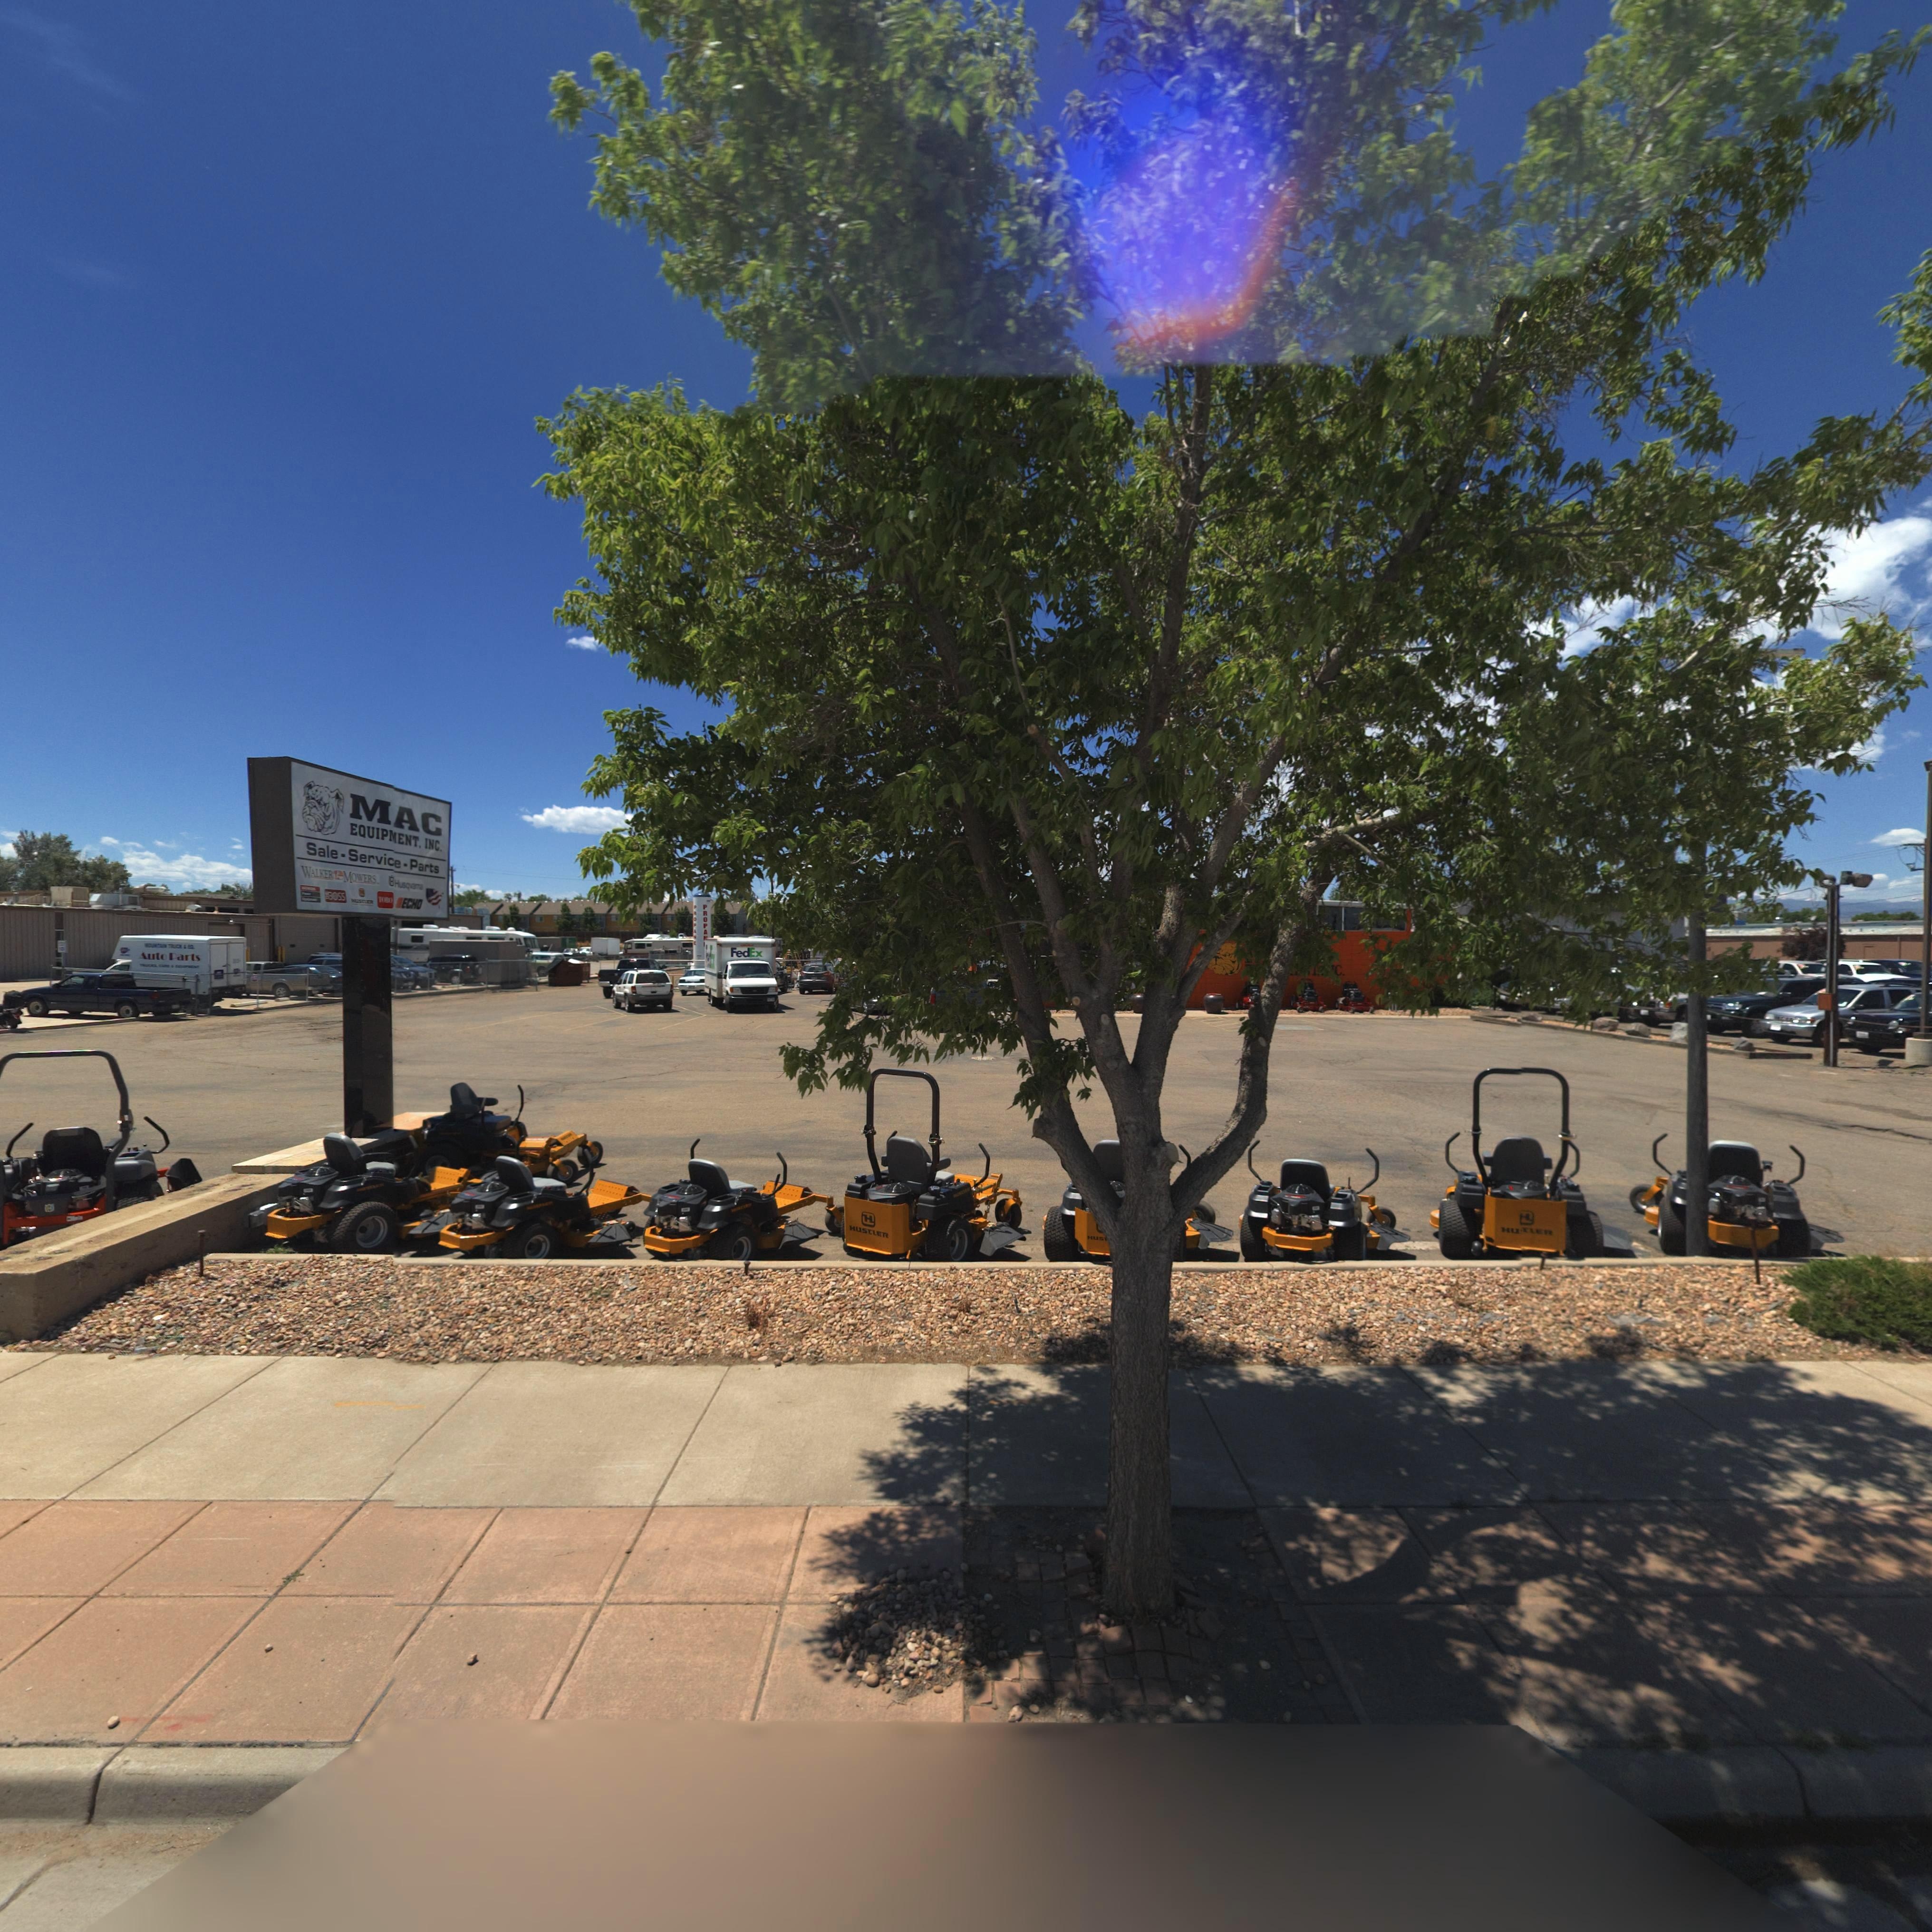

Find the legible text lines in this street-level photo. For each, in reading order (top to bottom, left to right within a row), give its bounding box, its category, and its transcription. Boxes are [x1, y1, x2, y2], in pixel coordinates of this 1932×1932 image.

[348, 792, 443, 837] BusinessName: MAC
[349, 821, 443, 852] BusinessName: EQUIPMENT* INC
[1334, 964, 1345, 976] BusinessName: C